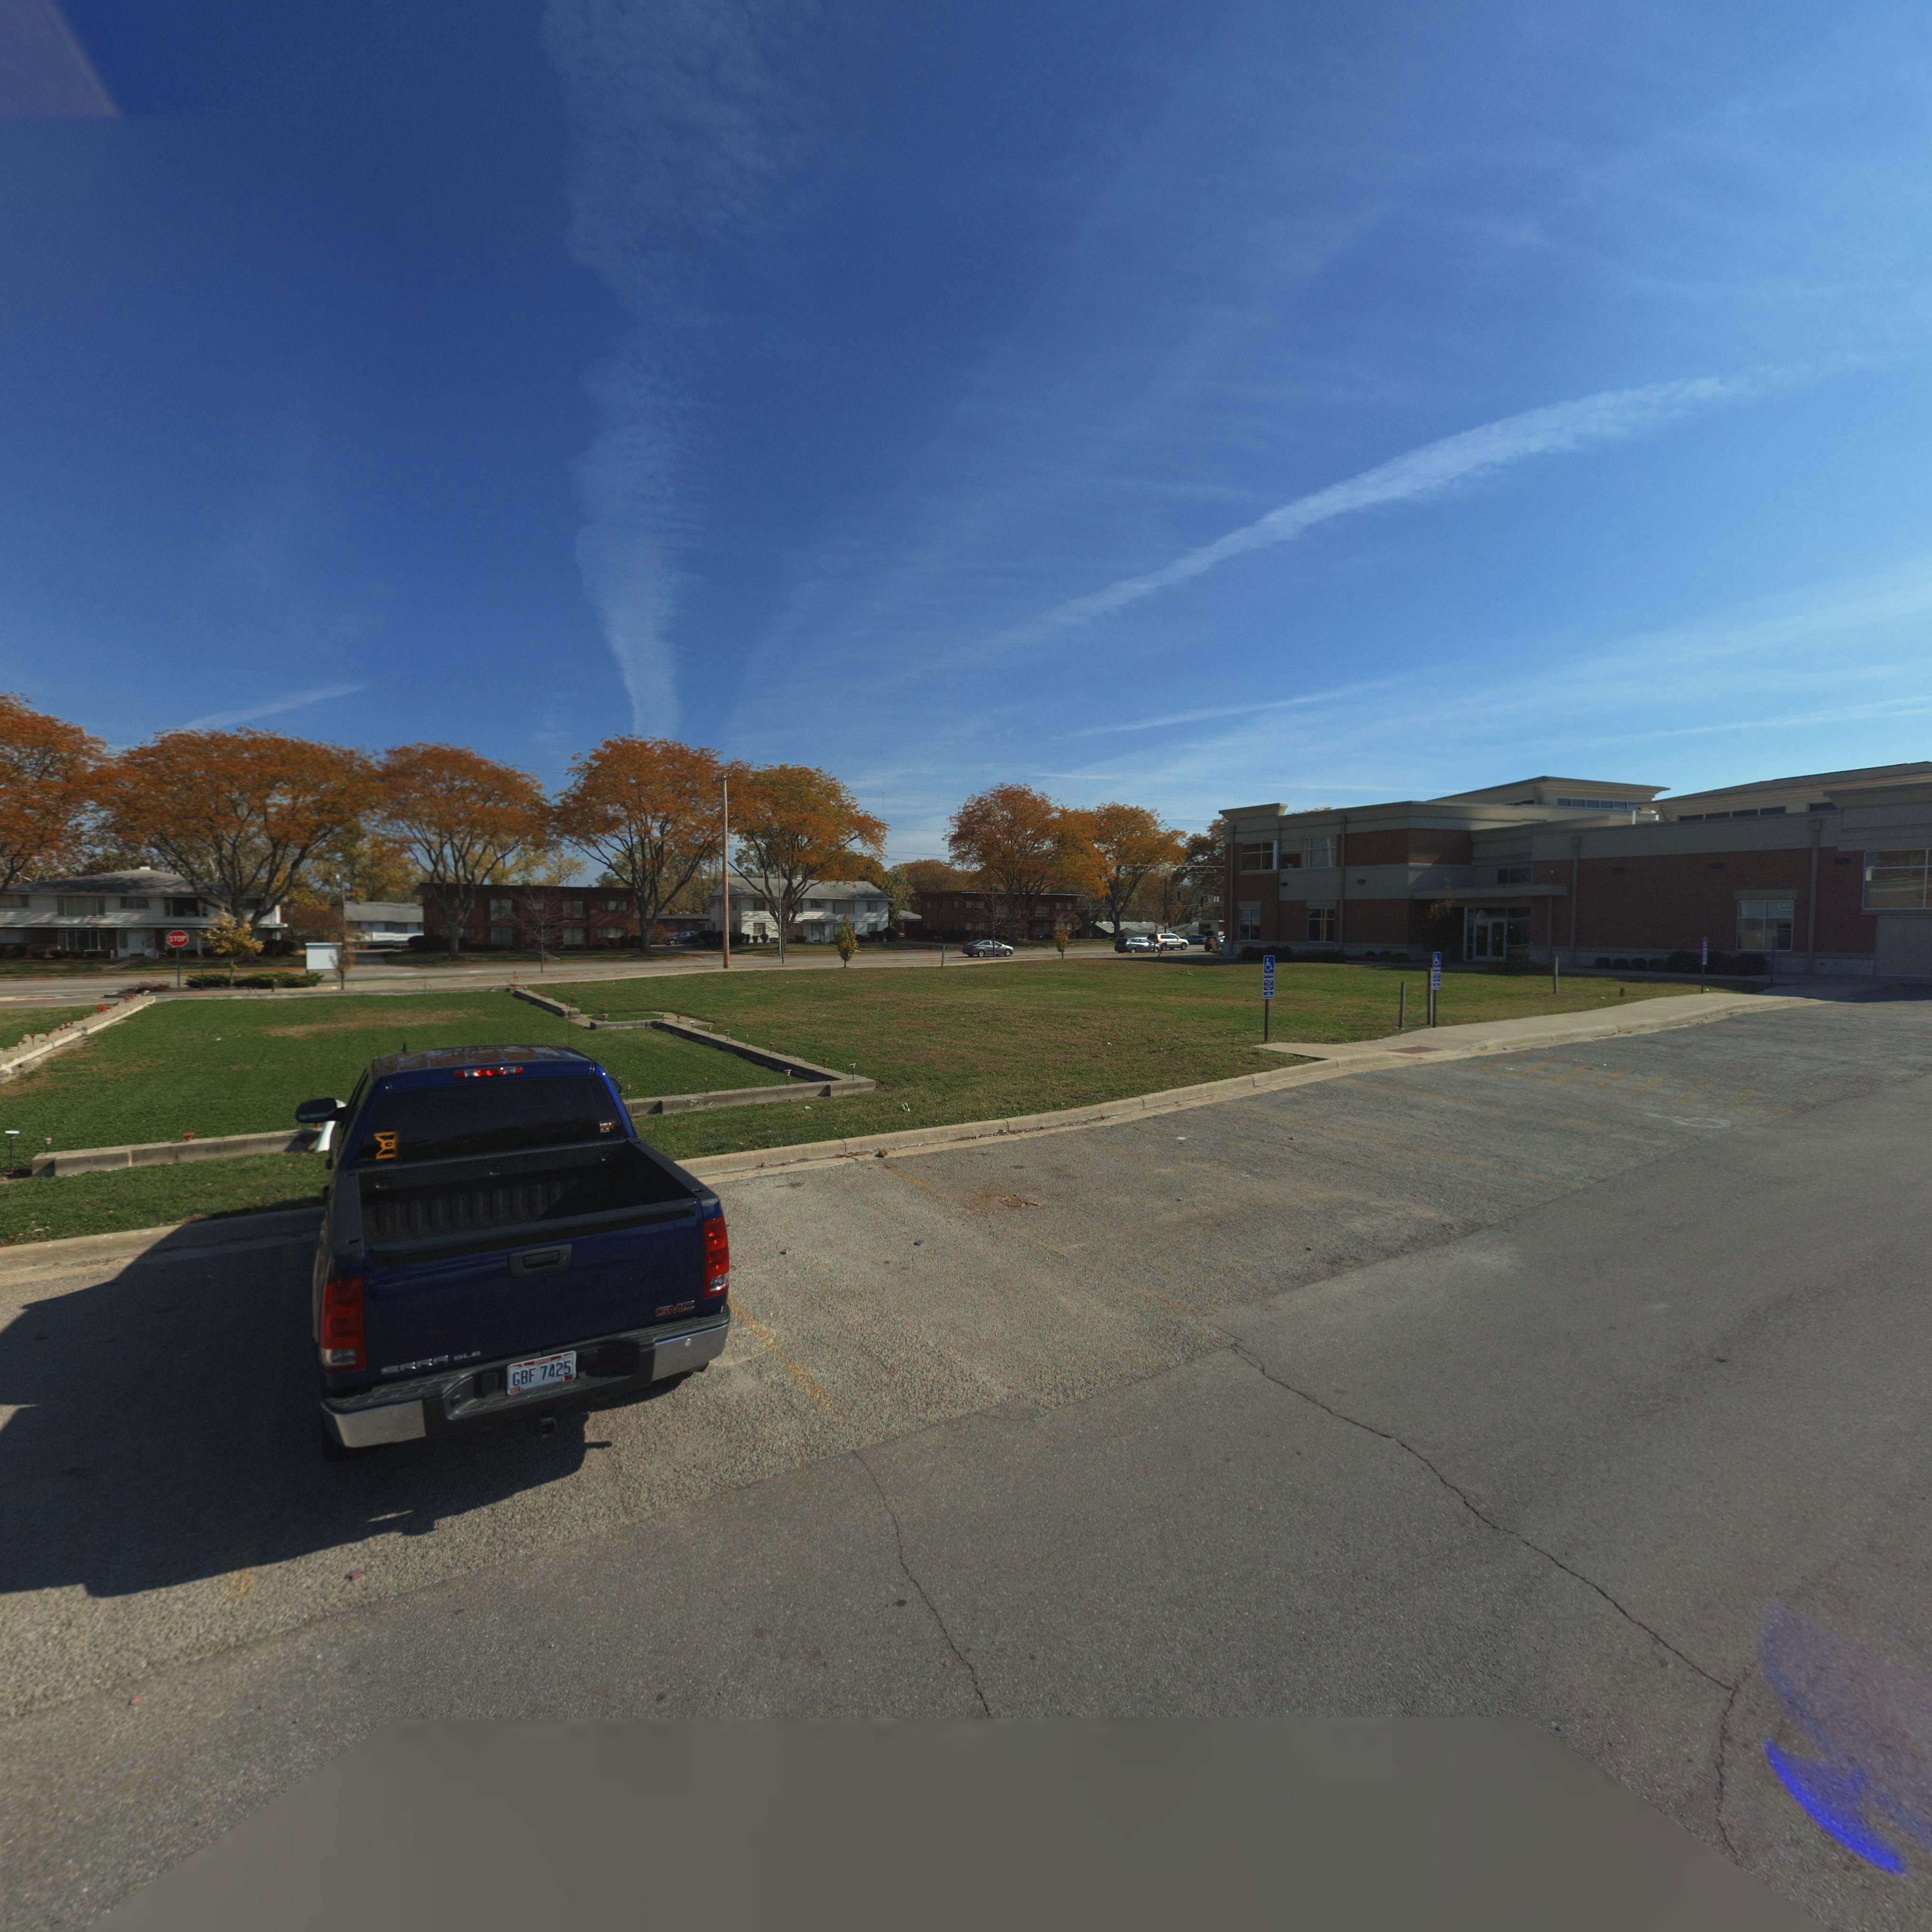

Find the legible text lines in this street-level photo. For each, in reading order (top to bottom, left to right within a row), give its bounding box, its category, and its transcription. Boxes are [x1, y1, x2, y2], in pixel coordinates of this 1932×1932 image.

[534, 1356, 551, 1366] None: OHIO